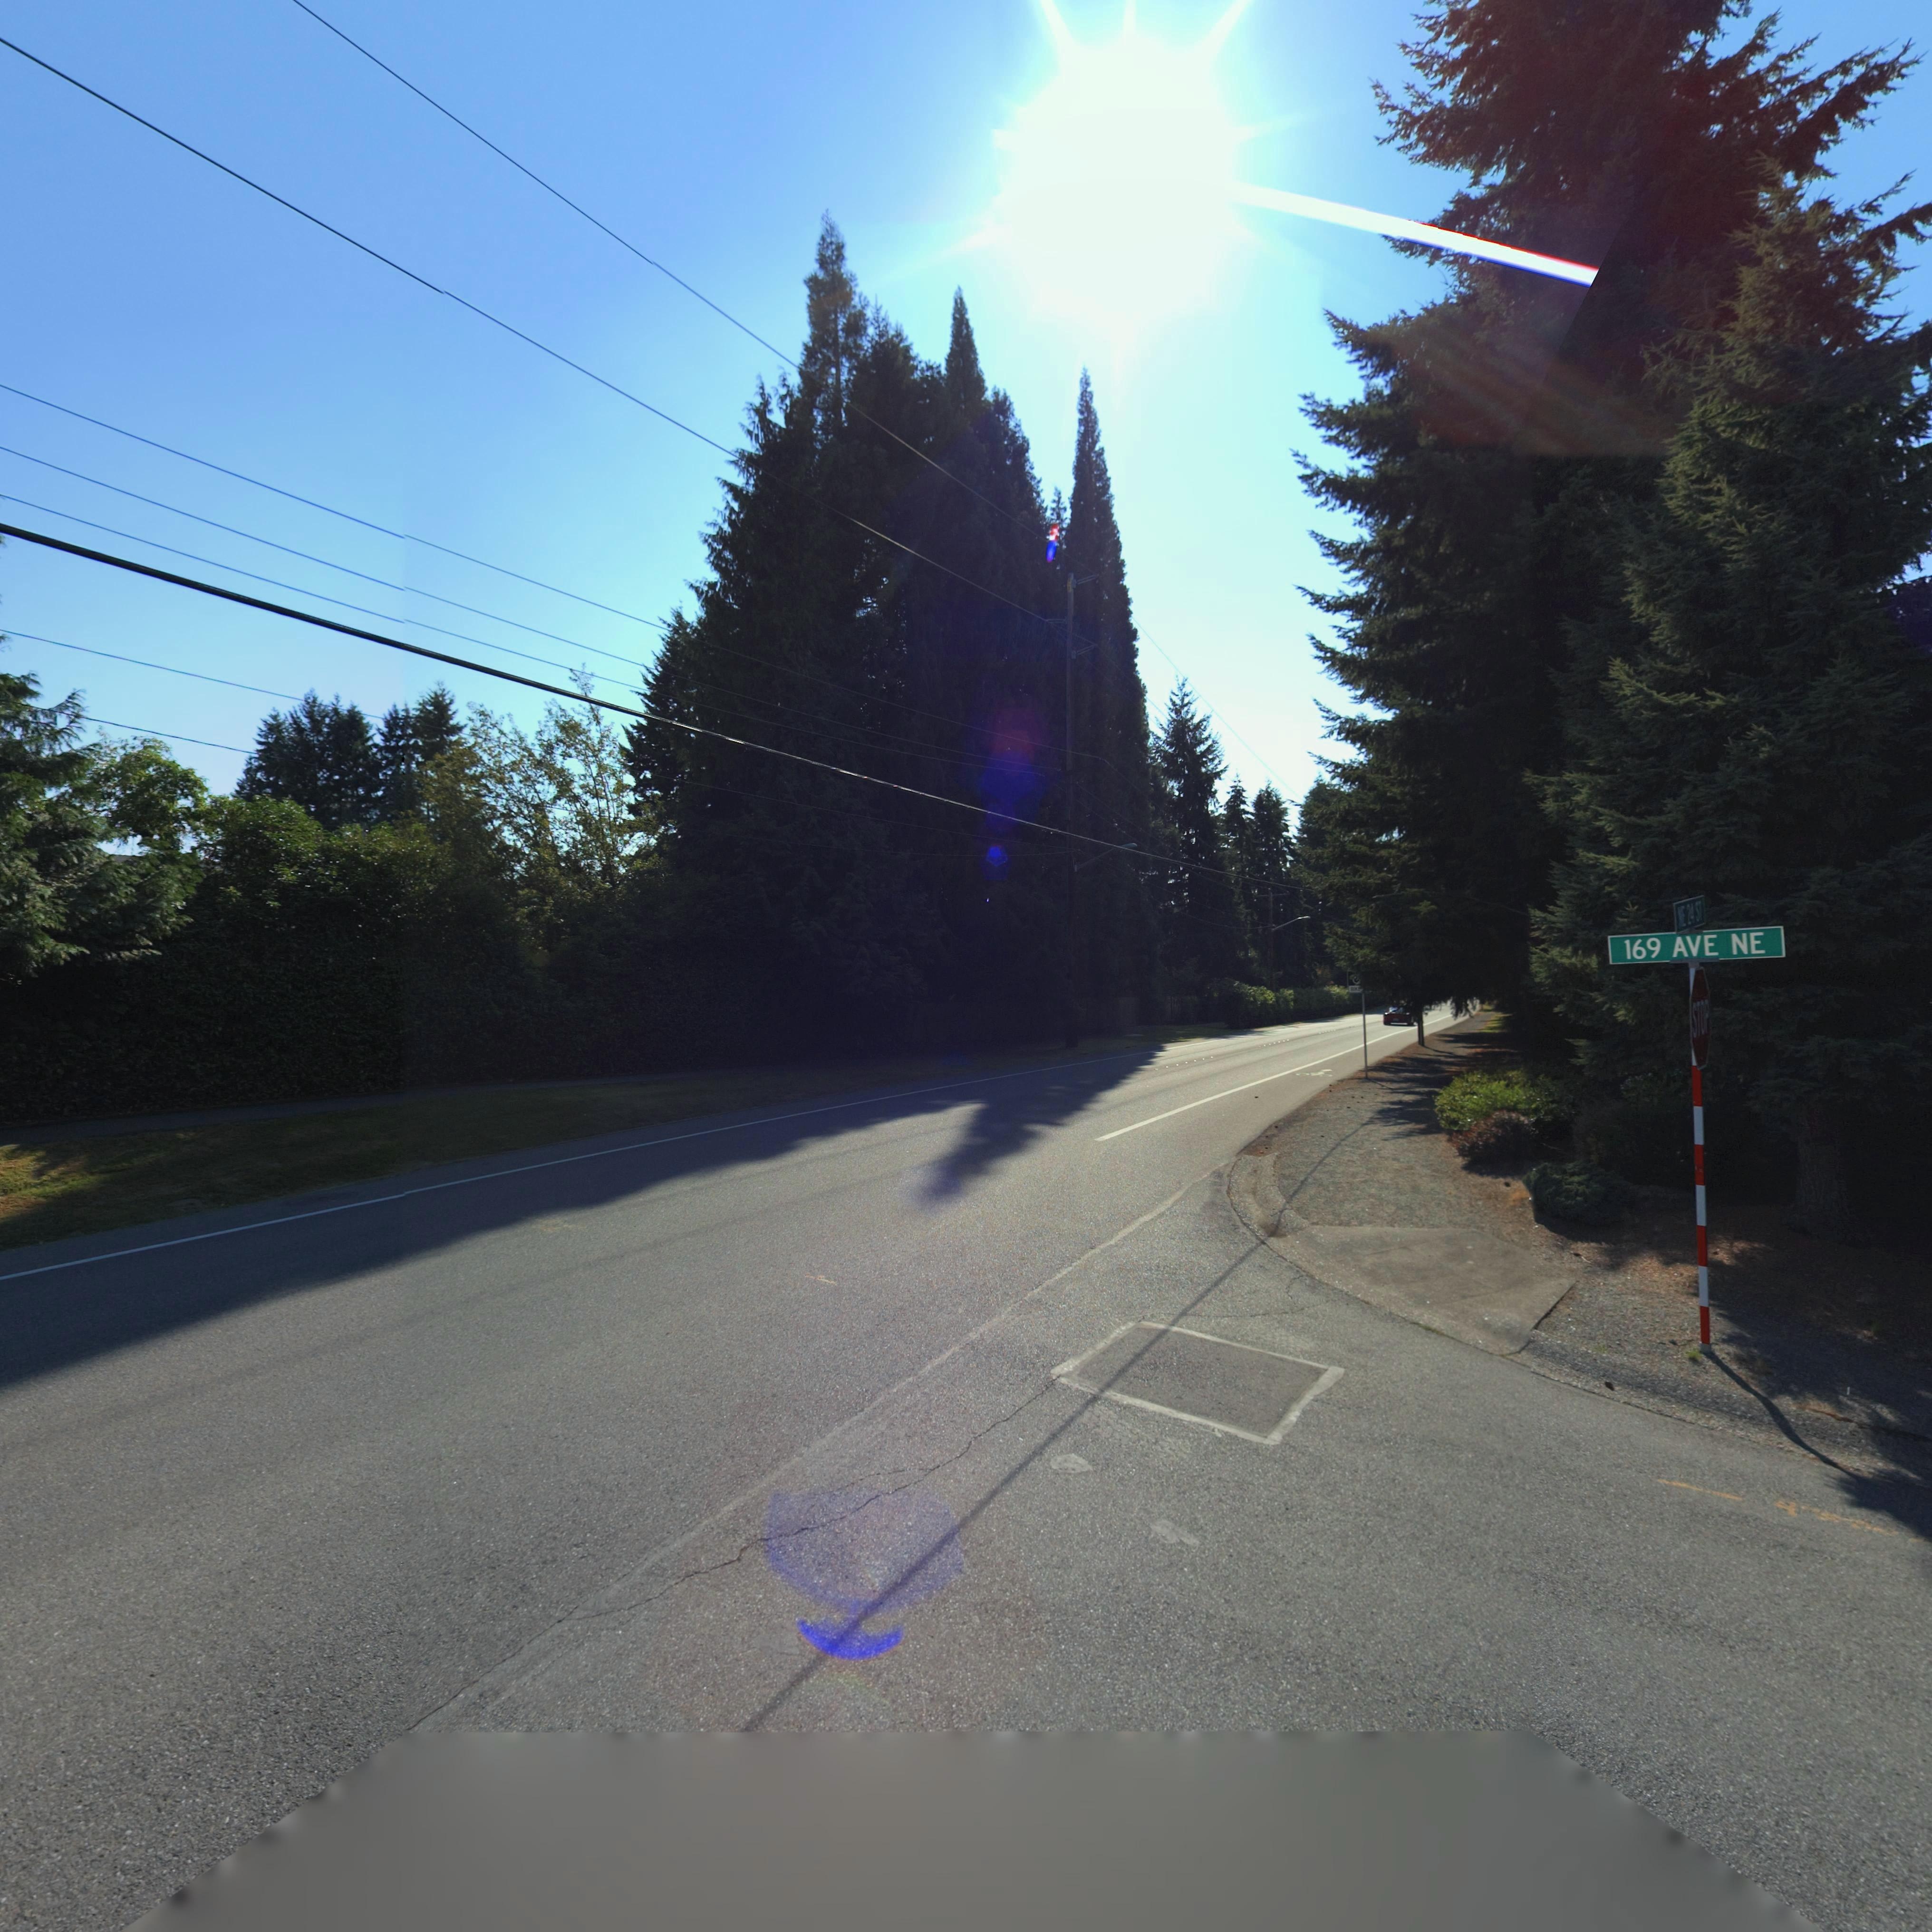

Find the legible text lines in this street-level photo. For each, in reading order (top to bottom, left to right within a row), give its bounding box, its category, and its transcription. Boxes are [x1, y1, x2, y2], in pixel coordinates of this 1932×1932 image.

[1625, 932, 1764, 959] StreetName: 169 AVE NE